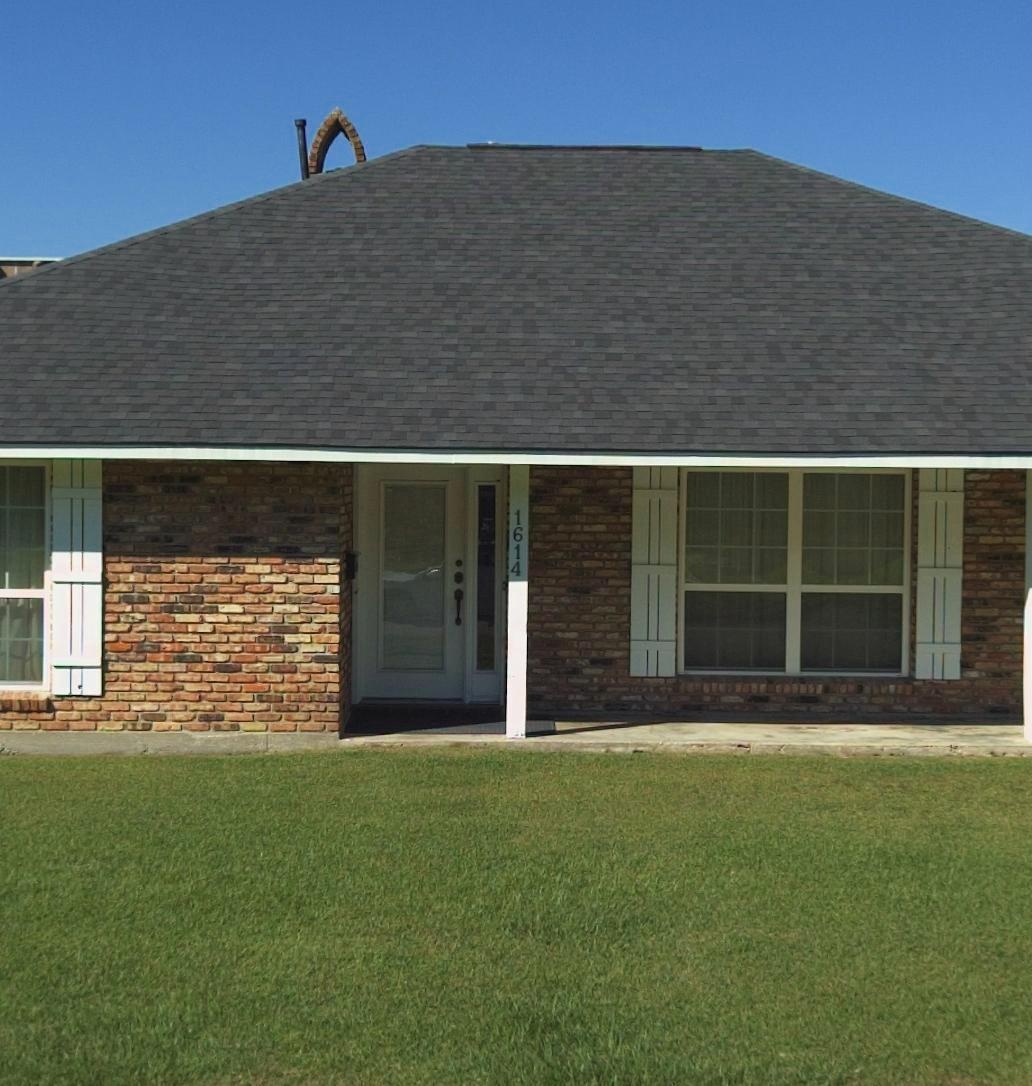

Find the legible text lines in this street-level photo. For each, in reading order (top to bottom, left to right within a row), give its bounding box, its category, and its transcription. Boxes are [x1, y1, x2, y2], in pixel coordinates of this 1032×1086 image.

[509, 508, 525, 579] StreetNumber: 1614